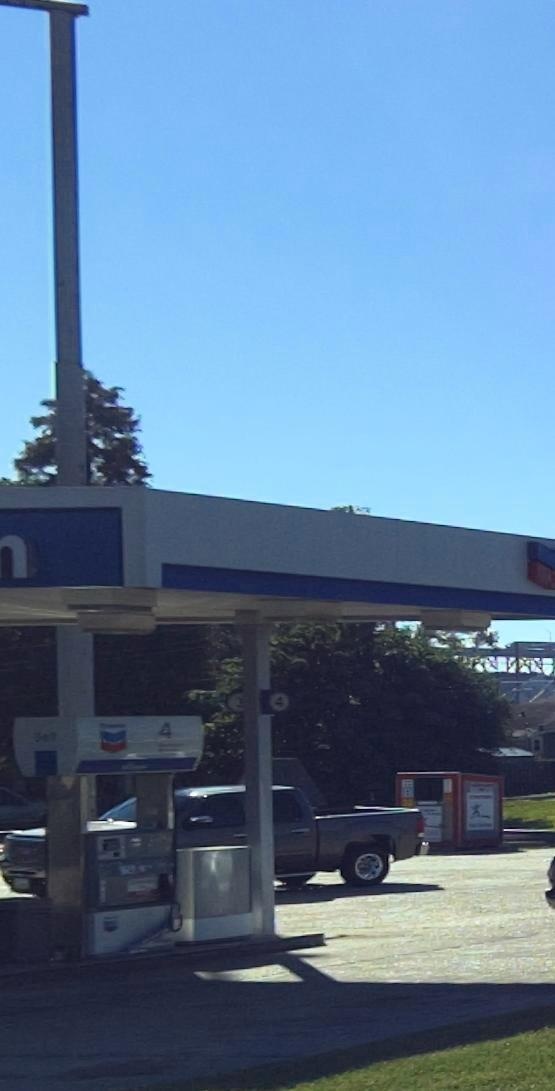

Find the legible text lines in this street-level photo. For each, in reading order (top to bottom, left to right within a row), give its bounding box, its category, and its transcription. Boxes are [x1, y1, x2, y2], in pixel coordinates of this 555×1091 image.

[273, 695, 286, 709] None: 4
[157, 720, 174, 740] None: 4